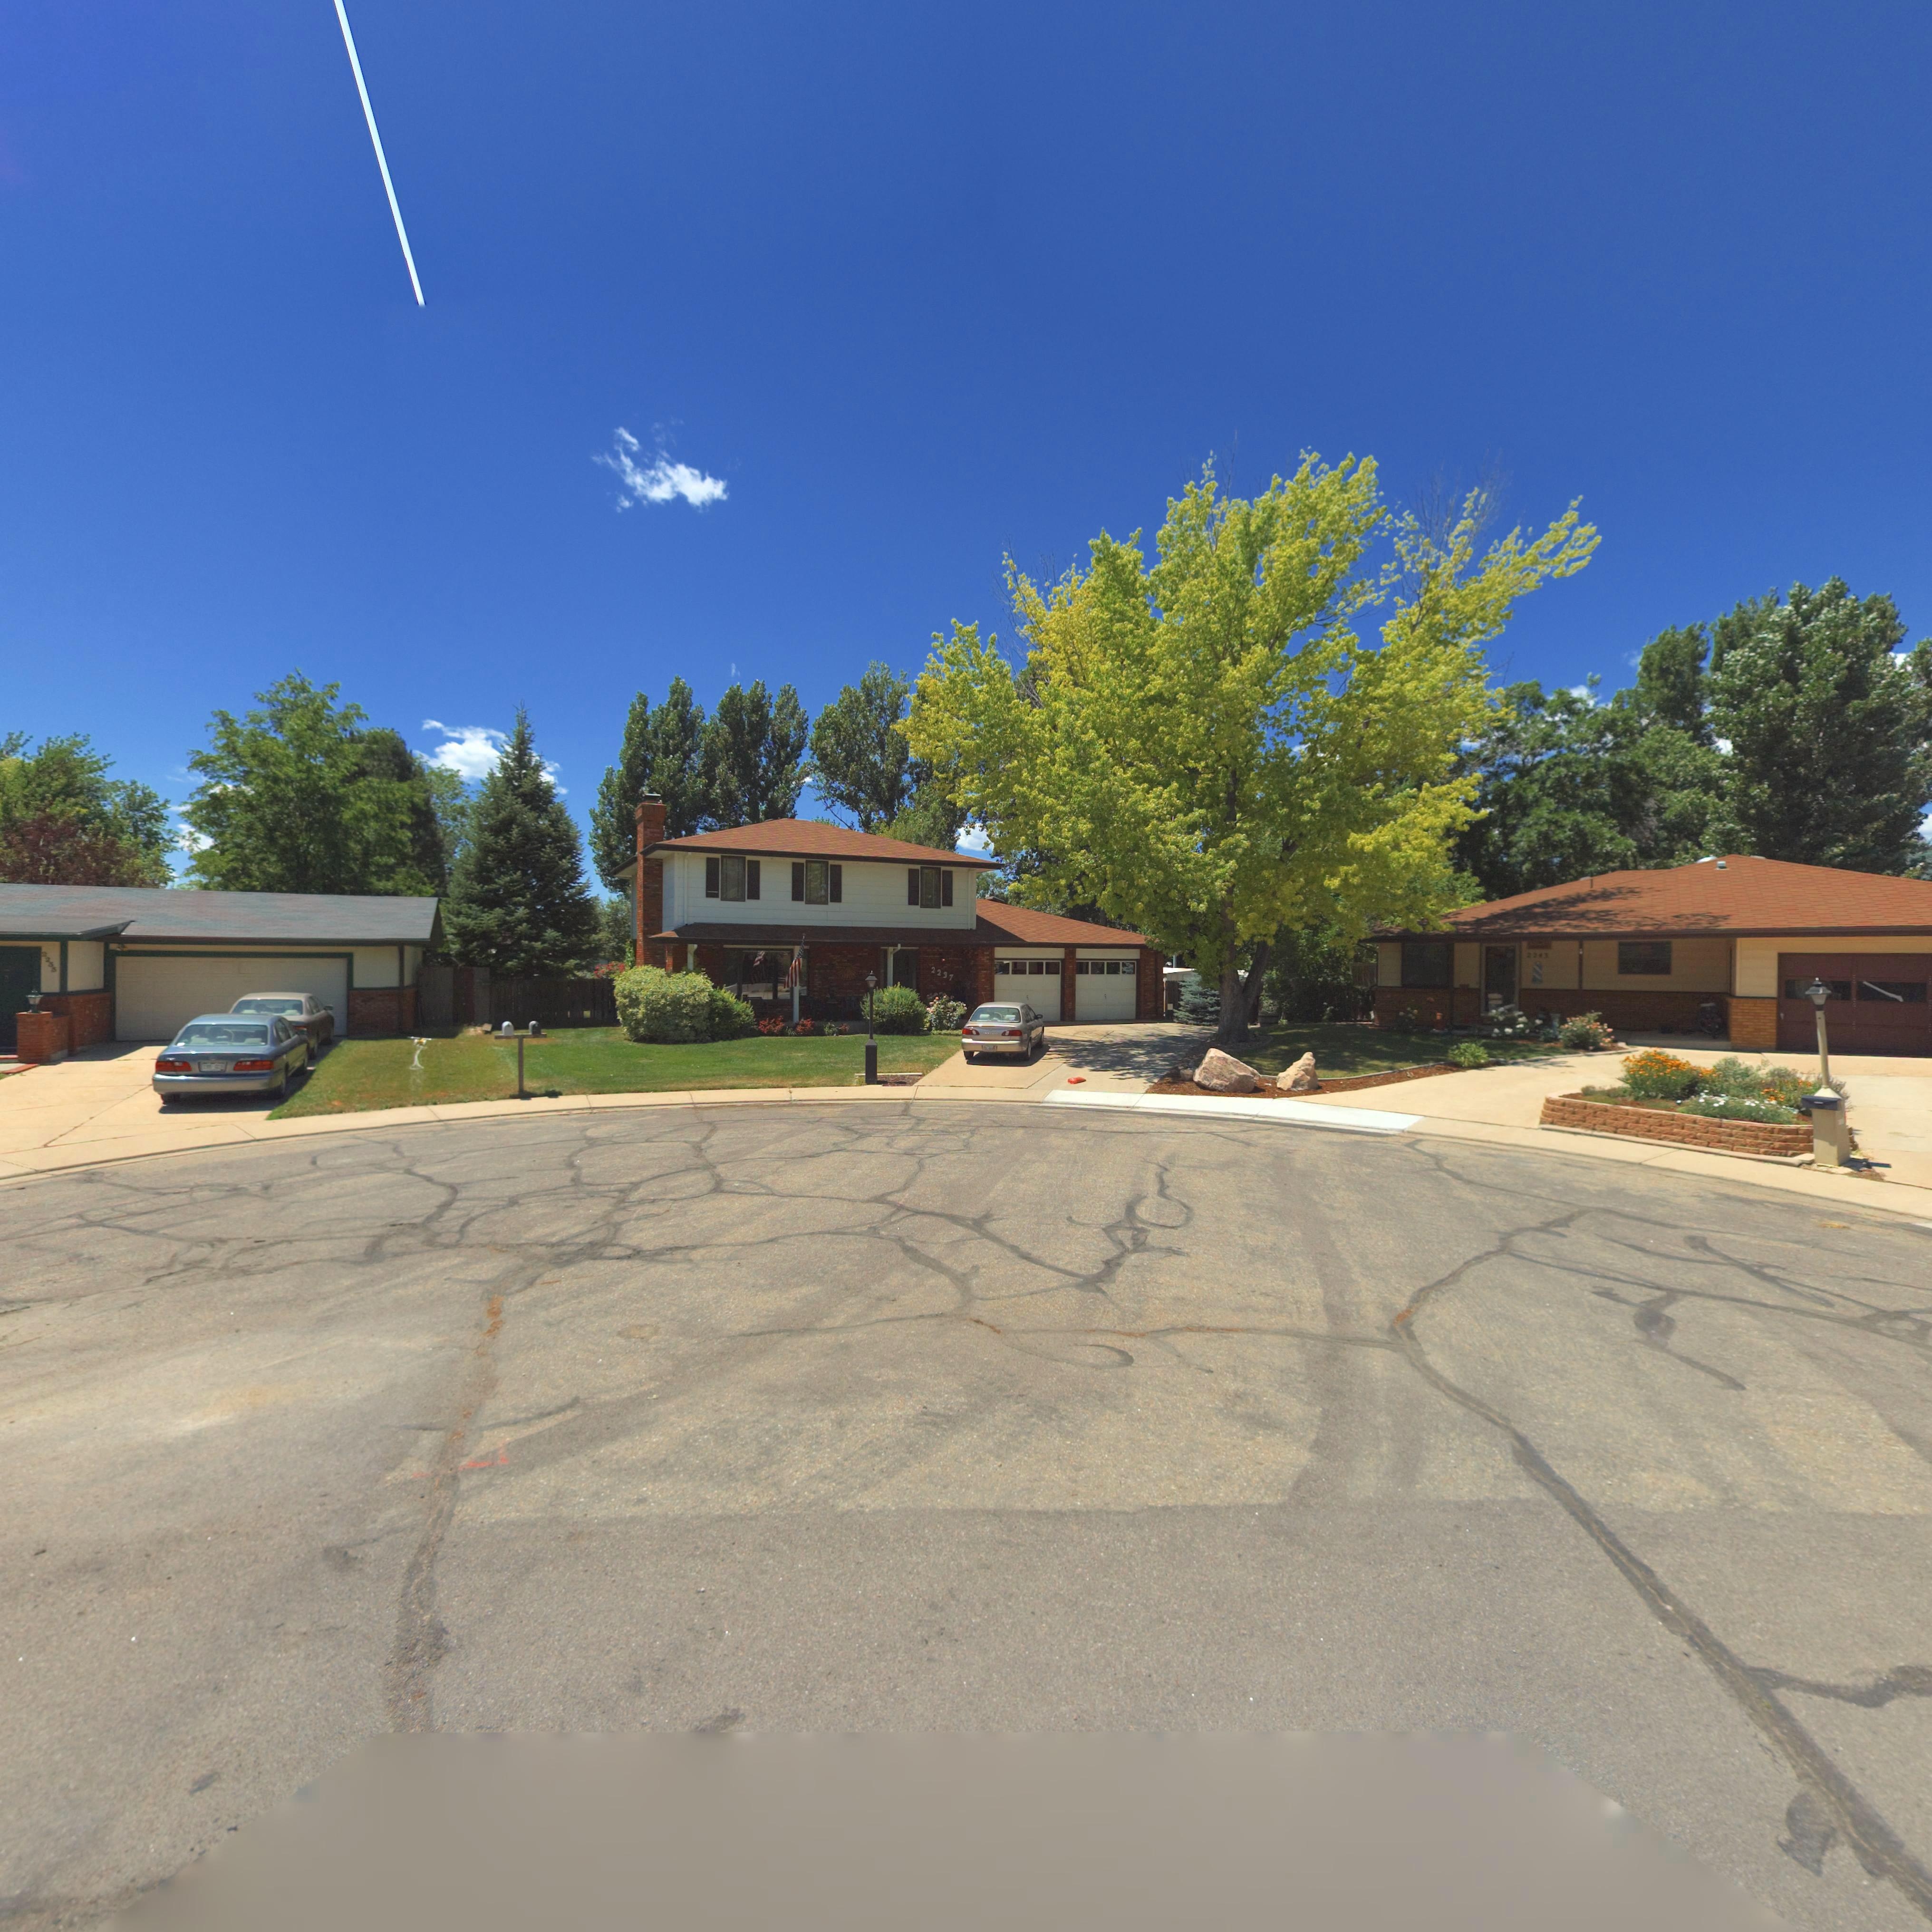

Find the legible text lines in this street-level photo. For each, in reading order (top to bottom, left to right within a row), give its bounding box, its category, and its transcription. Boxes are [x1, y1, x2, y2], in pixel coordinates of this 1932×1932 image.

[40, 951, 58, 973] StreetNumber: 2233
[1526, 951, 1548, 959] StreetNumber: 2243
[930, 965, 954, 981] StreetNumber: 2237